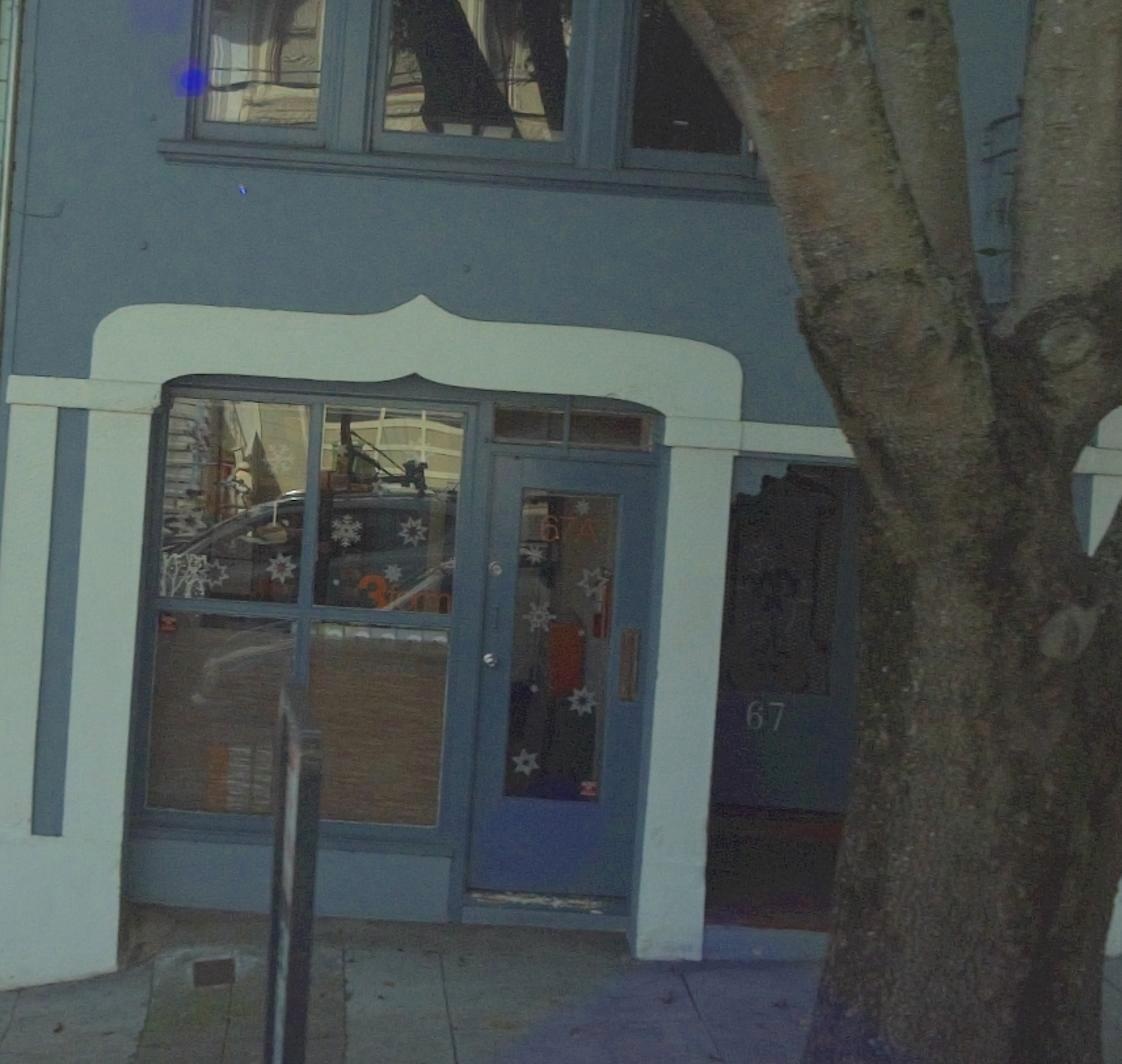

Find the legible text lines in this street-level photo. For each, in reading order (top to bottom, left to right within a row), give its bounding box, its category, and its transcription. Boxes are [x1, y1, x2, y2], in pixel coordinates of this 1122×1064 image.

[537, 513, 602, 544] StreetNumber: 67A
[744, 700, 788, 732] StreetNumber: 67